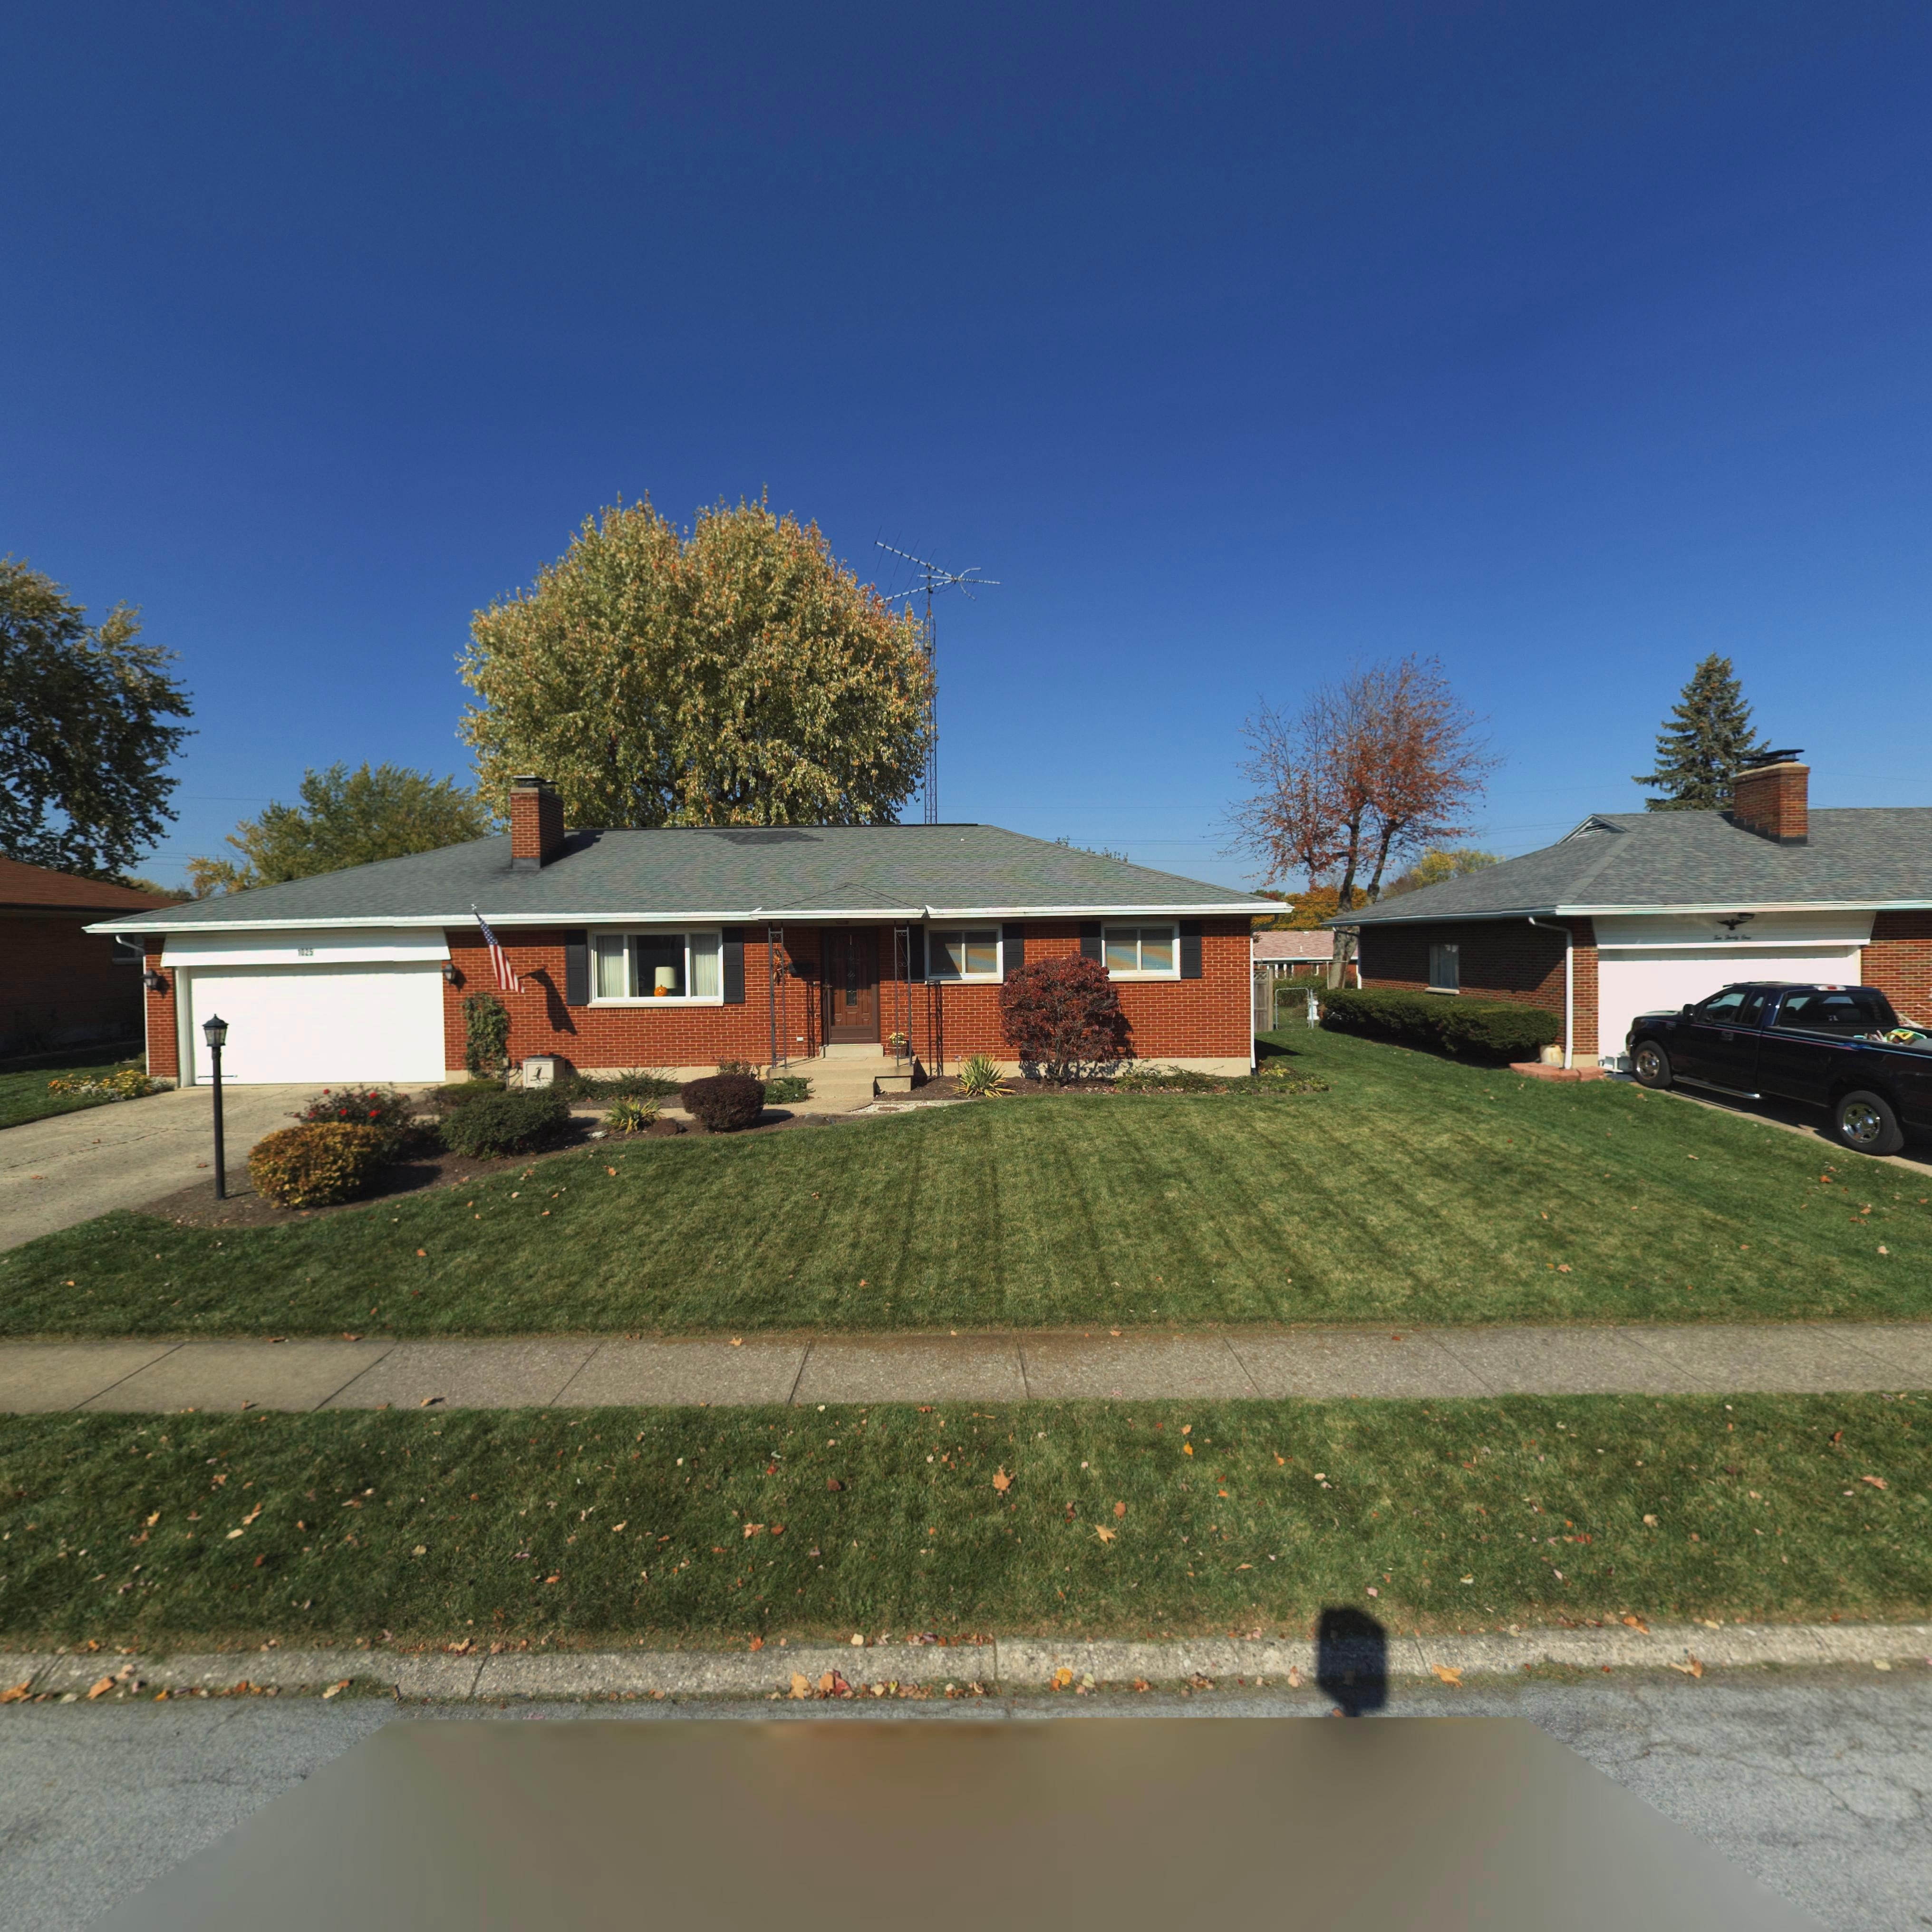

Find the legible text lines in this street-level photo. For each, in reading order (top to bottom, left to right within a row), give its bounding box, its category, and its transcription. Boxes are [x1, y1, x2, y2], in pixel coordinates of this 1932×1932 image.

[297, 947, 314, 957] StreetNumber: 1025